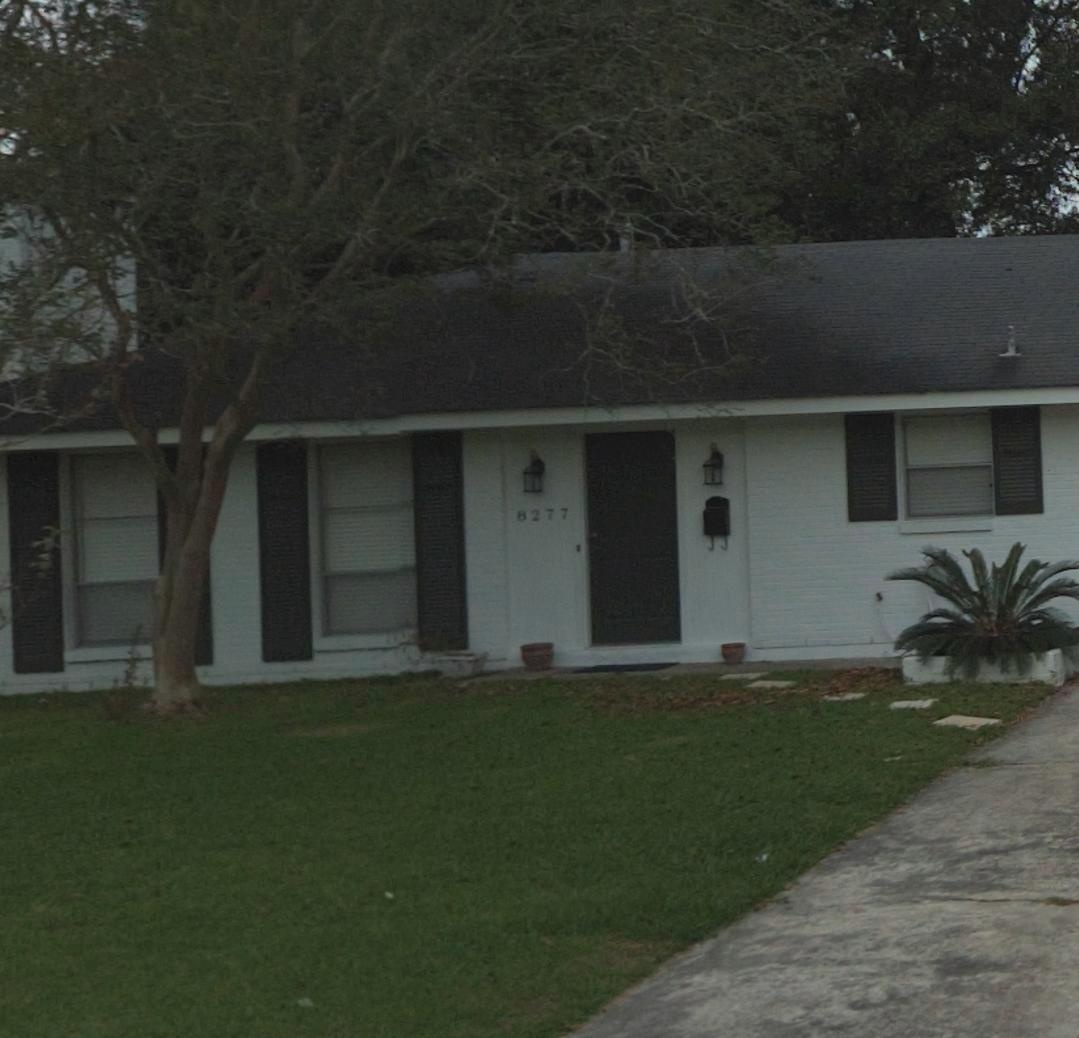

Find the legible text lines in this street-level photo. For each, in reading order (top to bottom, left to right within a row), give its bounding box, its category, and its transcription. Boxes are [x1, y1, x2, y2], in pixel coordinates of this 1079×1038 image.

[516, 507, 569, 522] StreetNumber: 8277